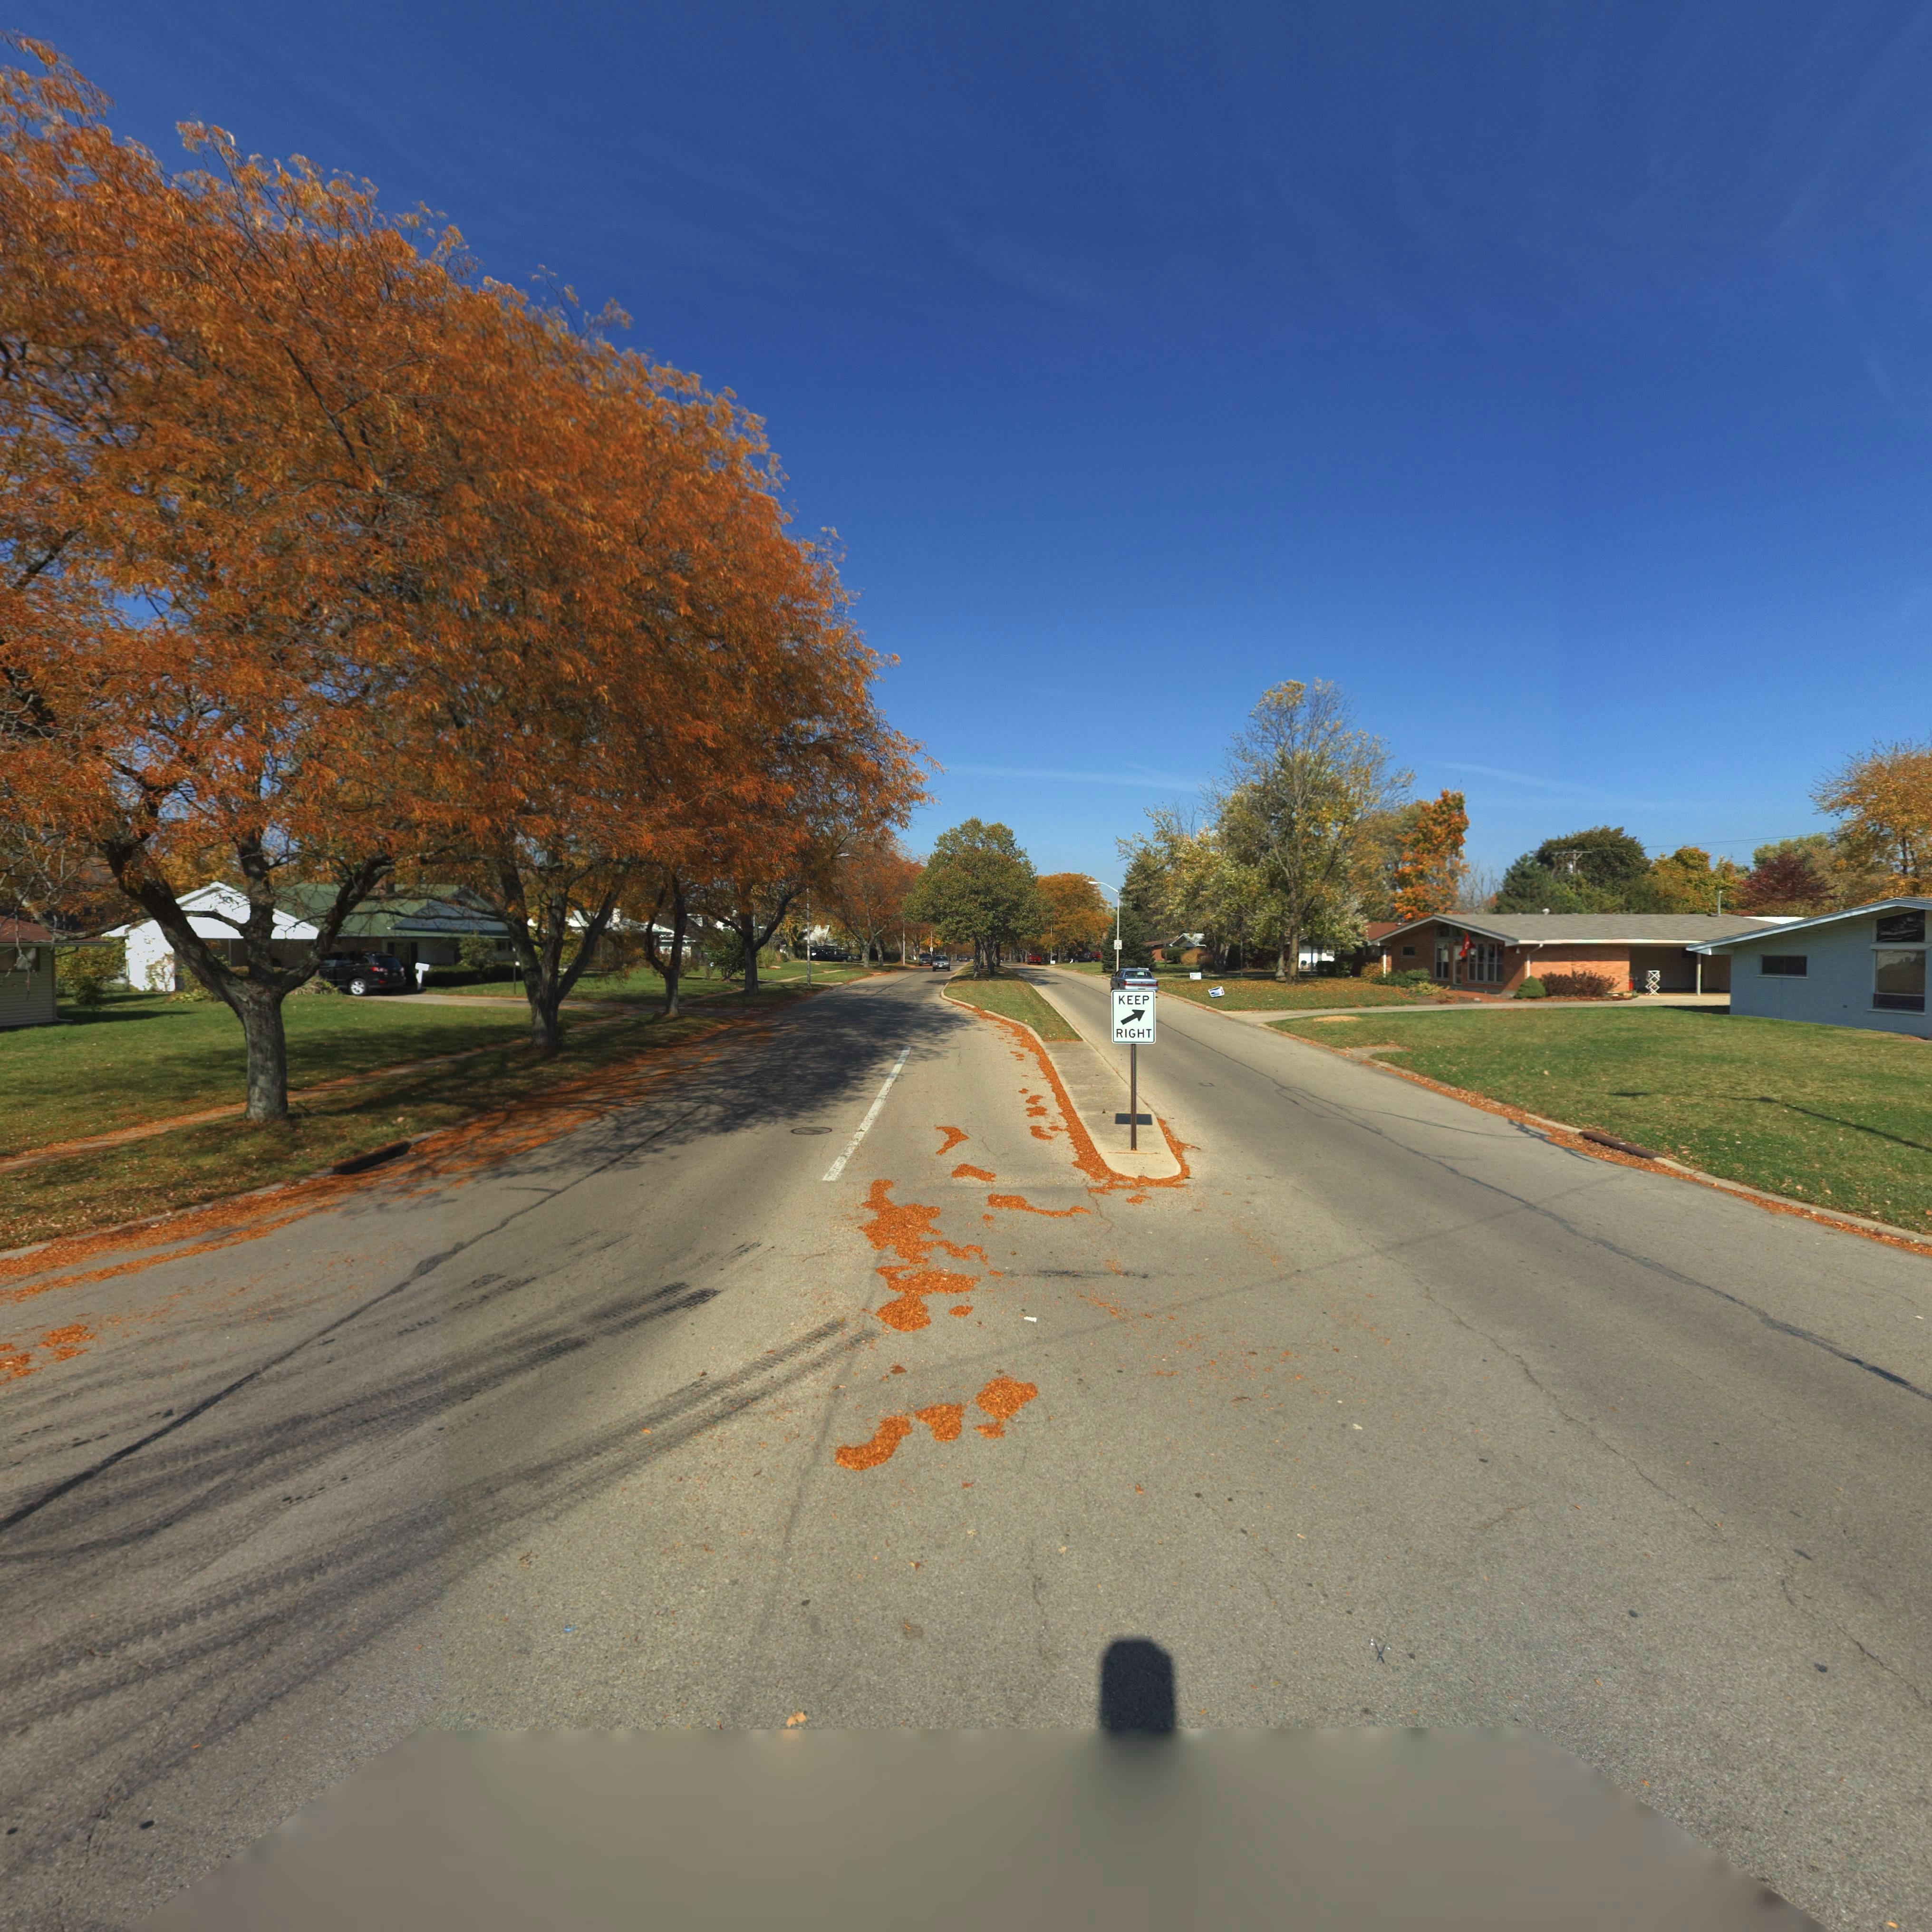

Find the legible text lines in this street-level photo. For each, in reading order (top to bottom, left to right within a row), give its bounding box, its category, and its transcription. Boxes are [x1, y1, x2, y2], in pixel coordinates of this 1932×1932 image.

[1117, 994, 1150, 1006] None: KEEP
[1115, 1027, 1153, 1039] None: RIGHT